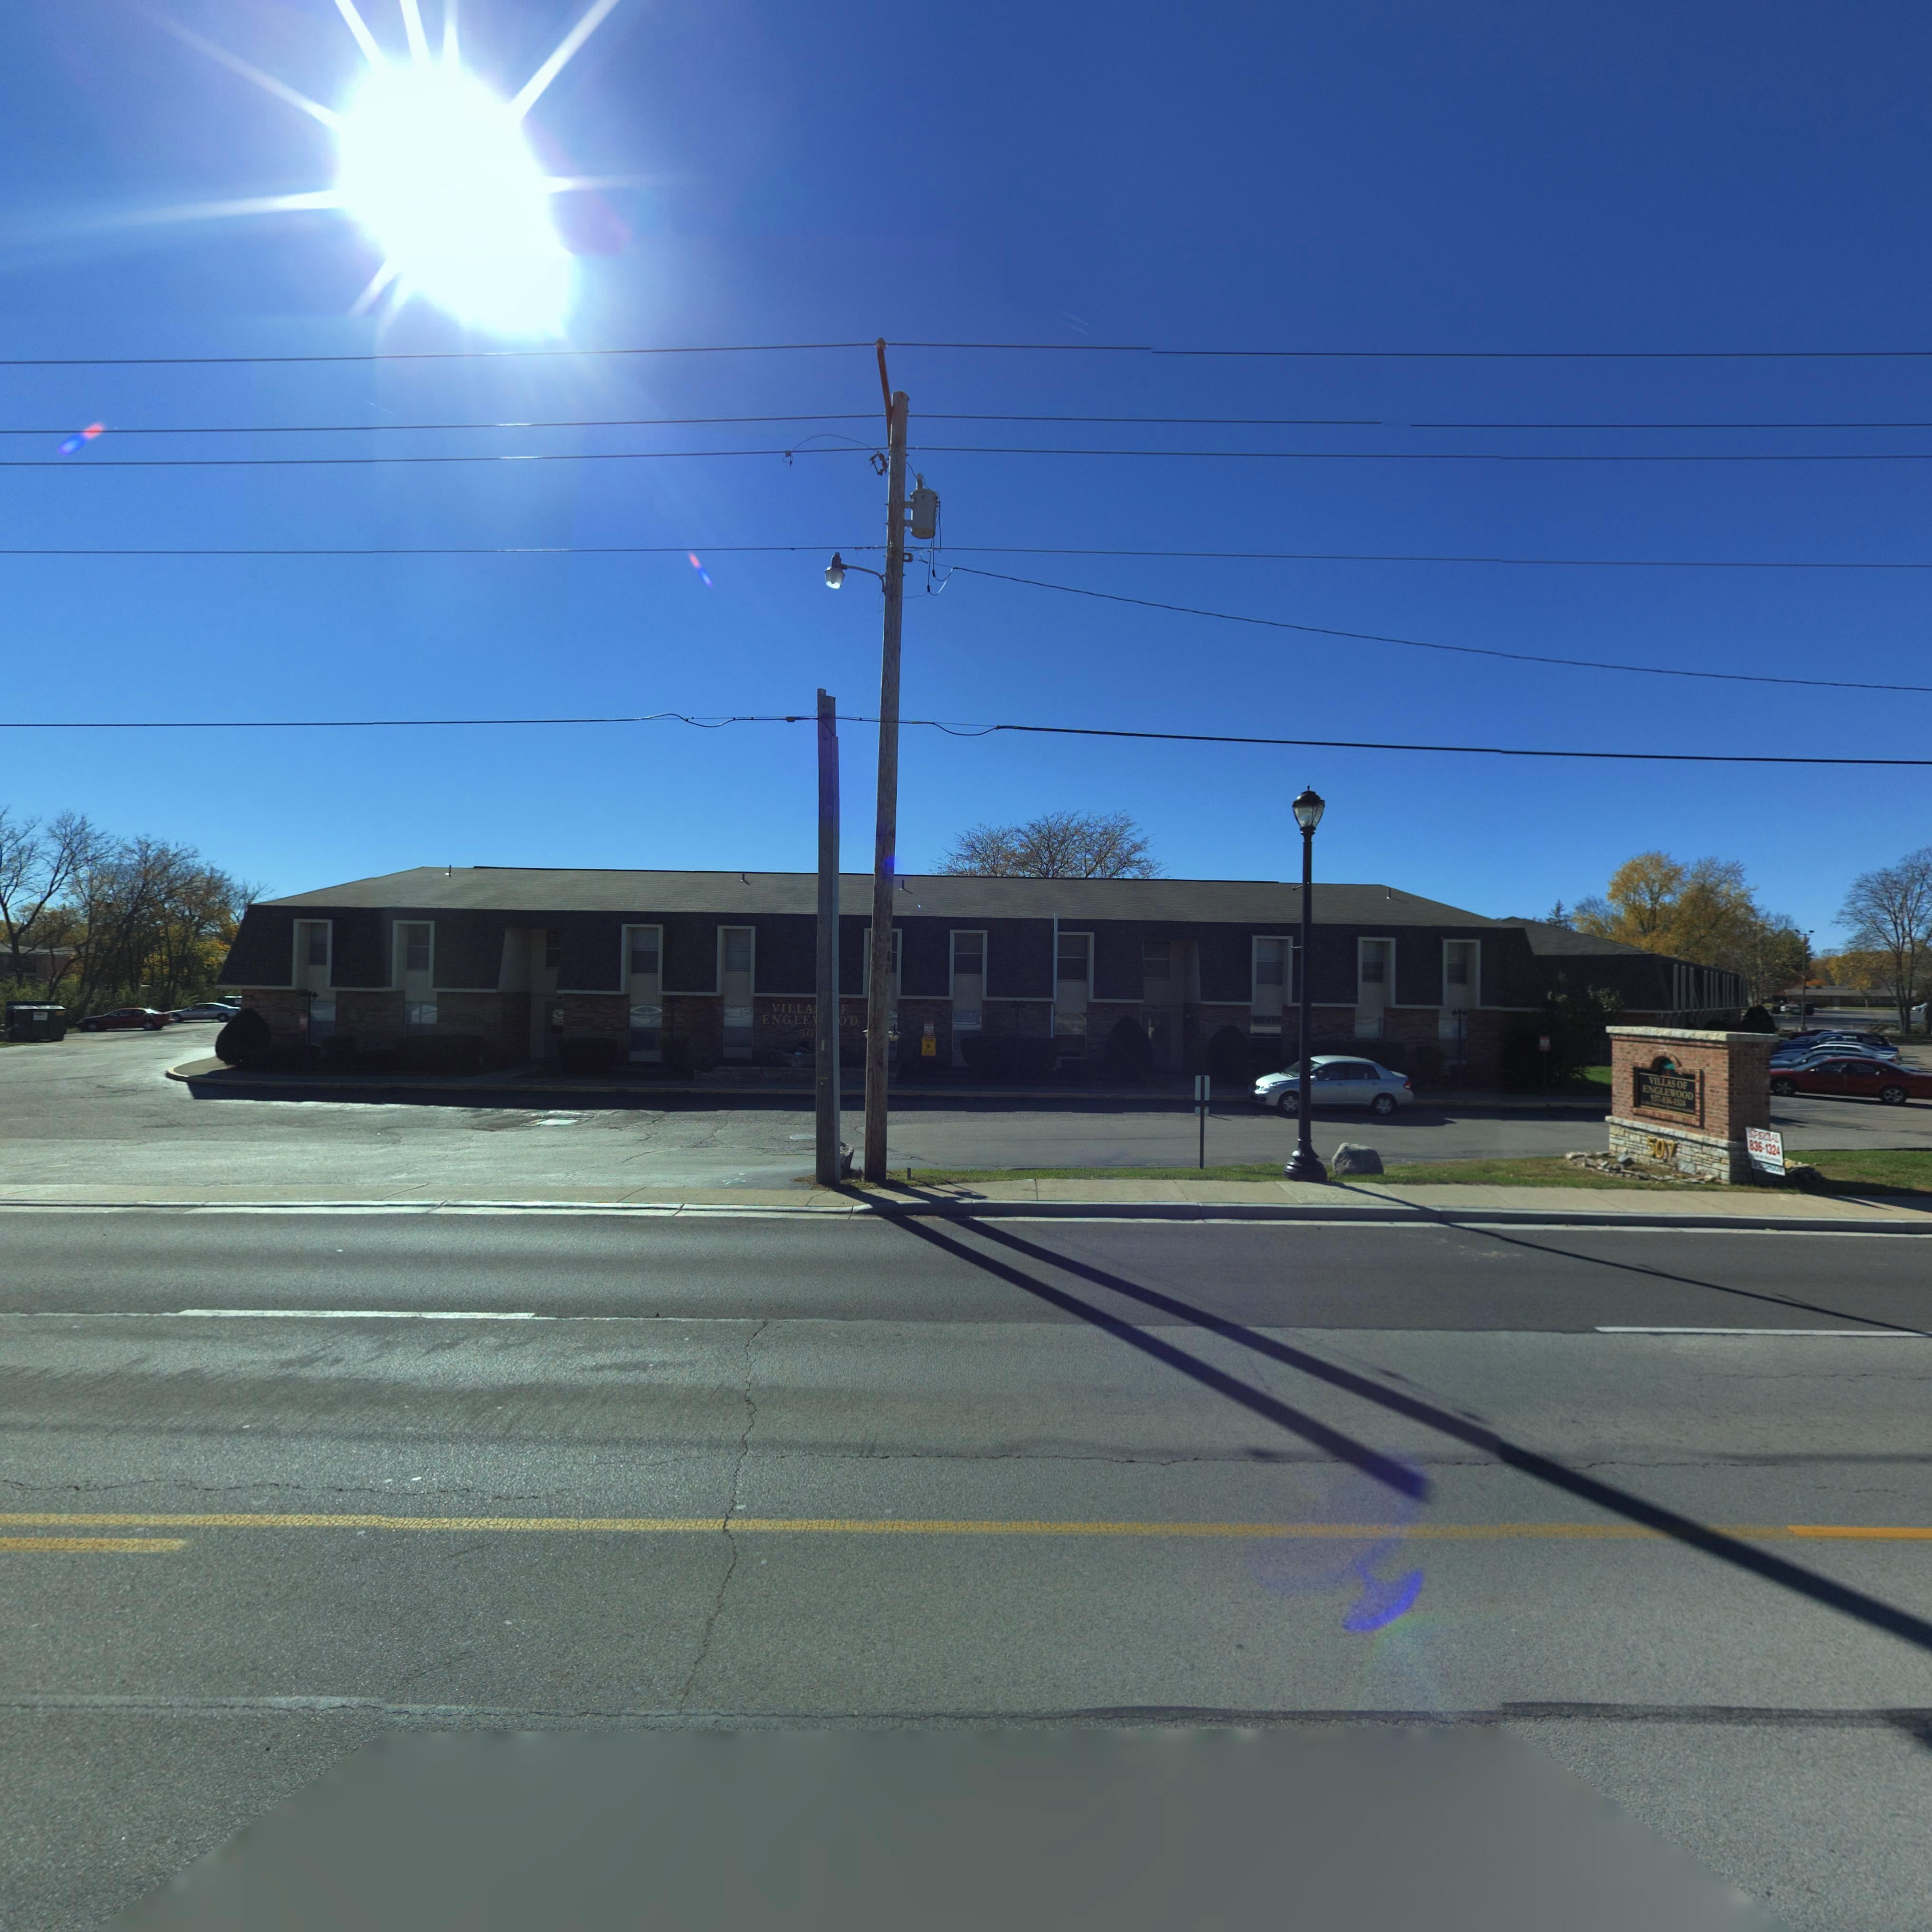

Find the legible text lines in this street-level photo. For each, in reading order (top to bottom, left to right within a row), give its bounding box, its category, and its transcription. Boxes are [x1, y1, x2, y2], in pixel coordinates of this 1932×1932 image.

[771, 1003, 815, 1014] BusinessName: VILLA
[840, 1003, 850, 1015] BusinessName: F
[761, 1014, 859, 1027] BusinessName: ENGLE**OD
[797, 1028, 815, 1040] StreetNumber: 50
[924, 1038, 934, 1043] None: SLOW
[1648, 1076, 1689, 1091] BusinessName: VILLAS OF
[1642, 1083, 1694, 1101] BusinessName: ENGLEWOOD
[1649, 1094, 1687, 1108] None: 937-836-1324
[1748, 1128, 1780, 1144] None: SPECIAL
[1645, 1135, 1676, 1164] StreetNumber: 507
[1748, 1139, 1781, 1157] None: 836-1324
[1752, 1159, 1758, 1168] None: 3